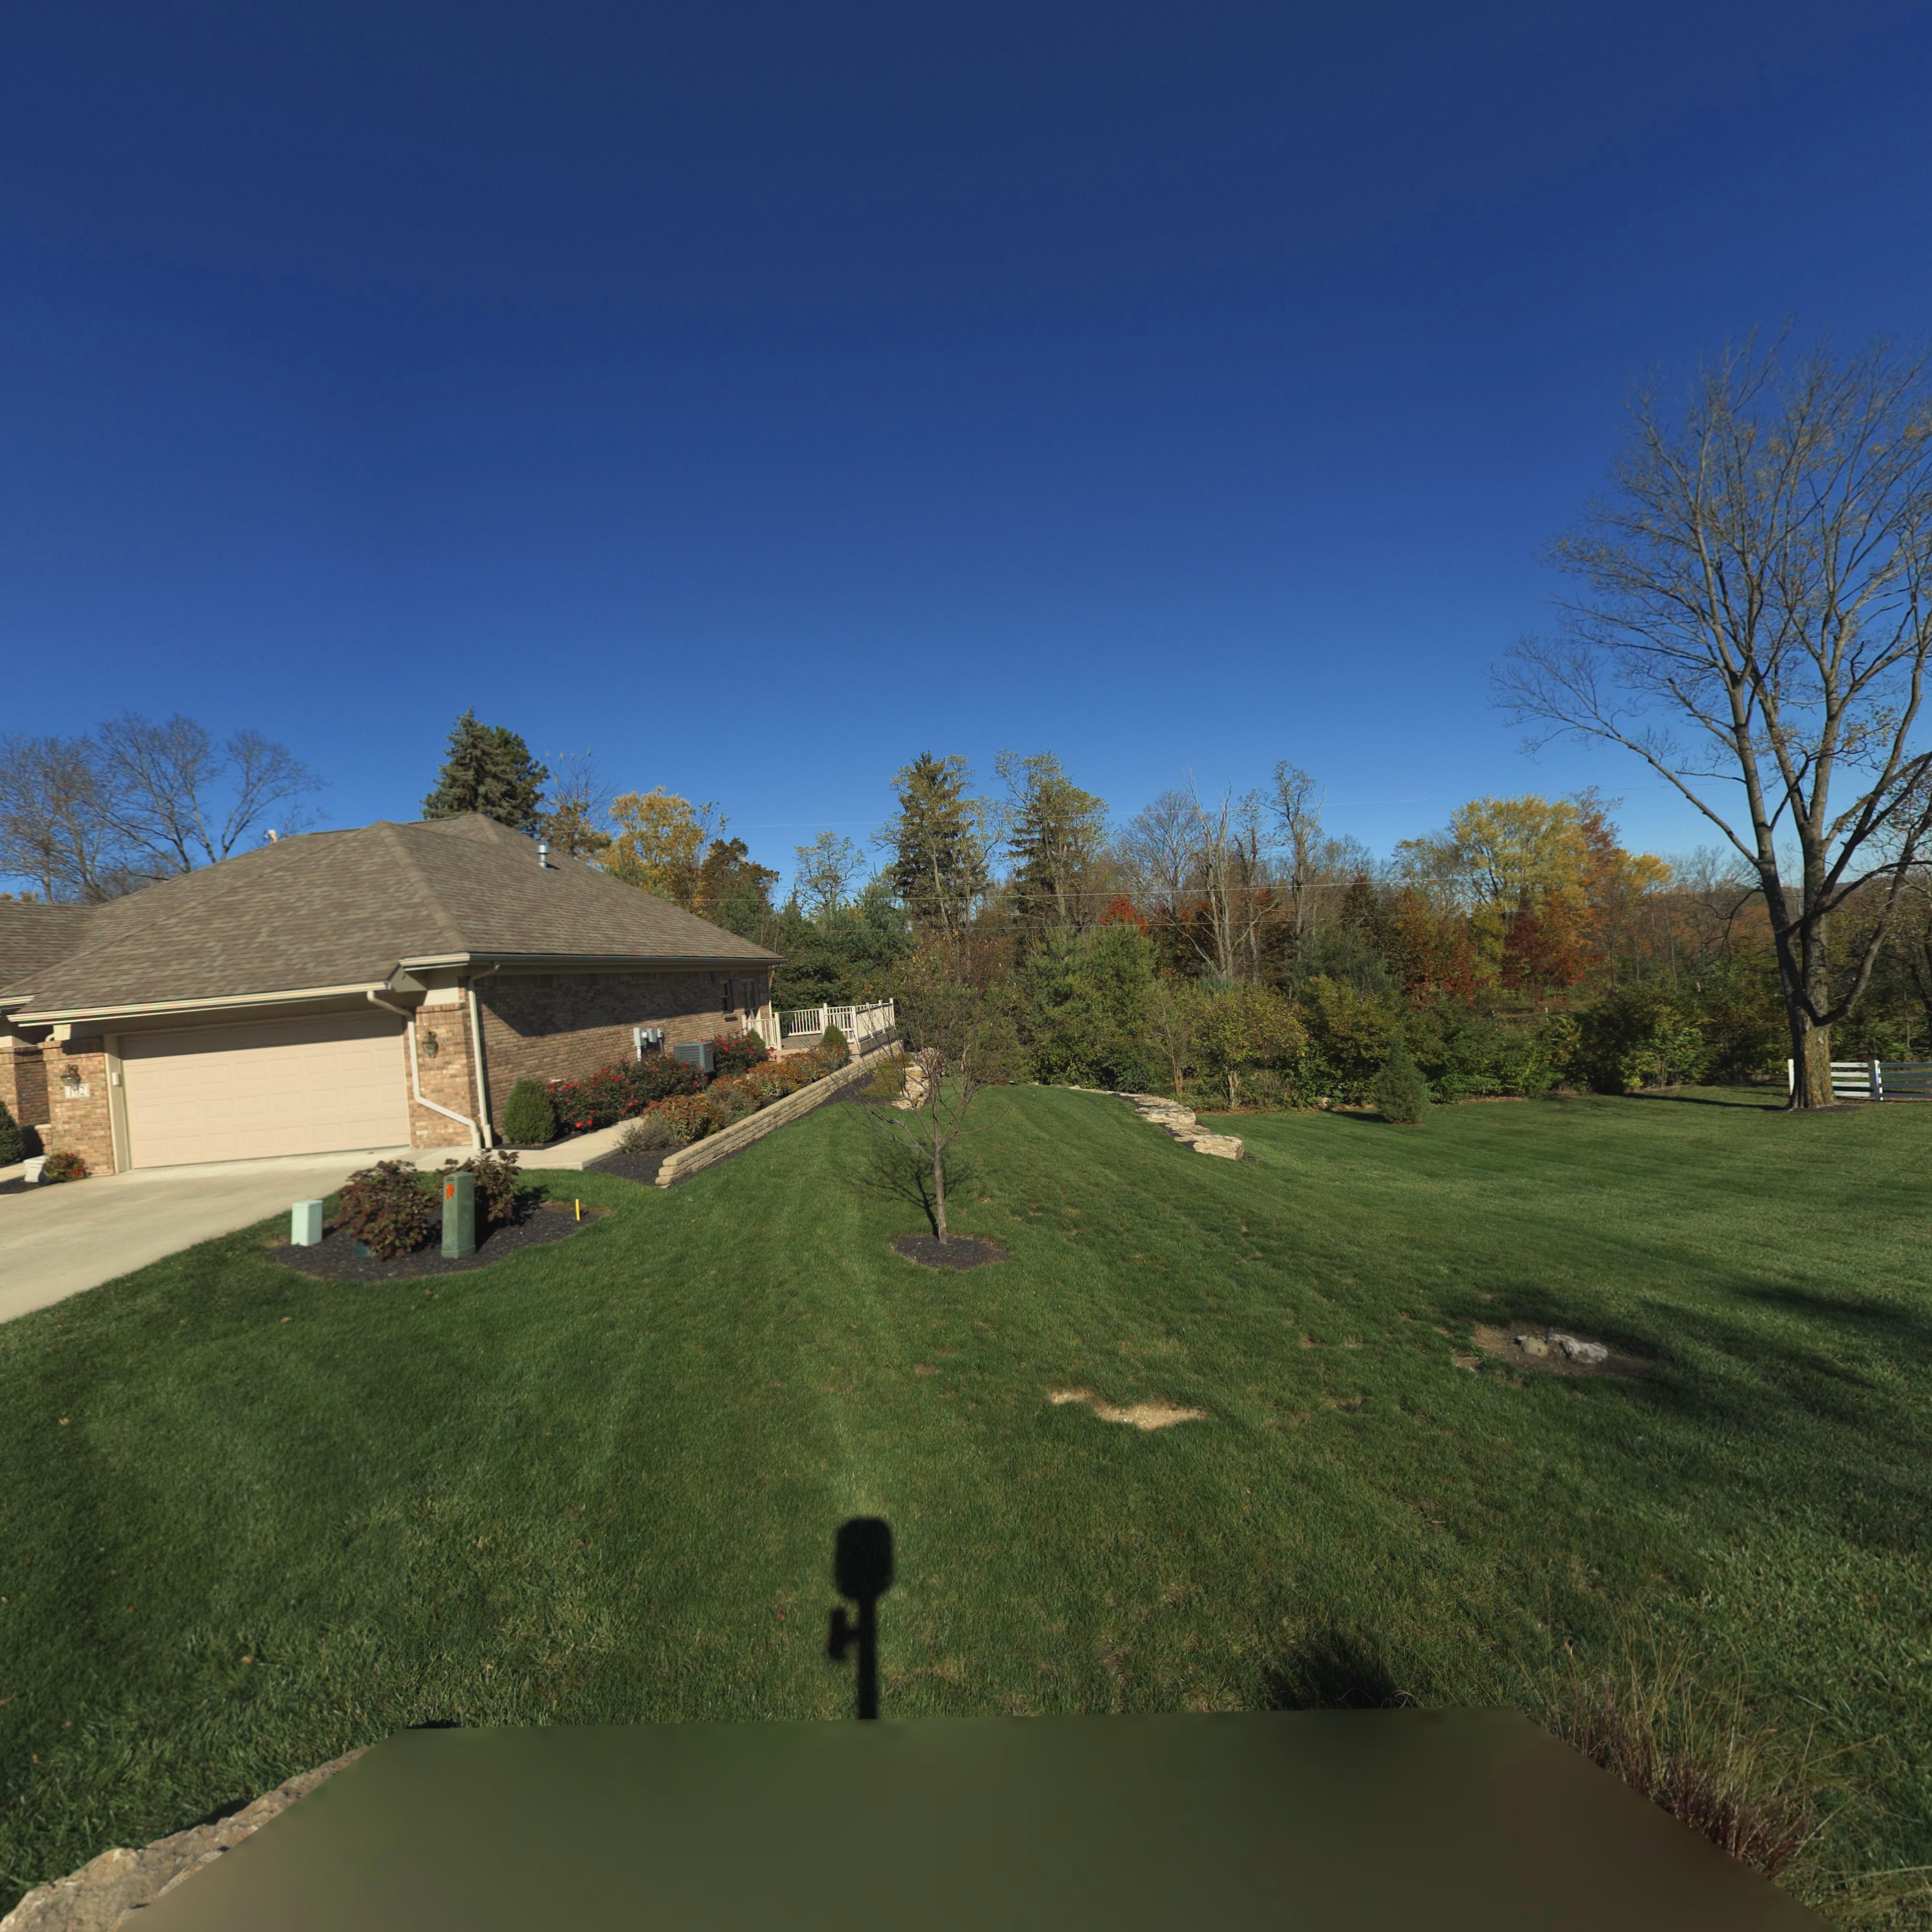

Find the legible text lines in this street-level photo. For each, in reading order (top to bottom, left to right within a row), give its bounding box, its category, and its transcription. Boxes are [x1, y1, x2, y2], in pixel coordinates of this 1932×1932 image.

[68, 1084, 86, 1098] StreetNumber: 1*2